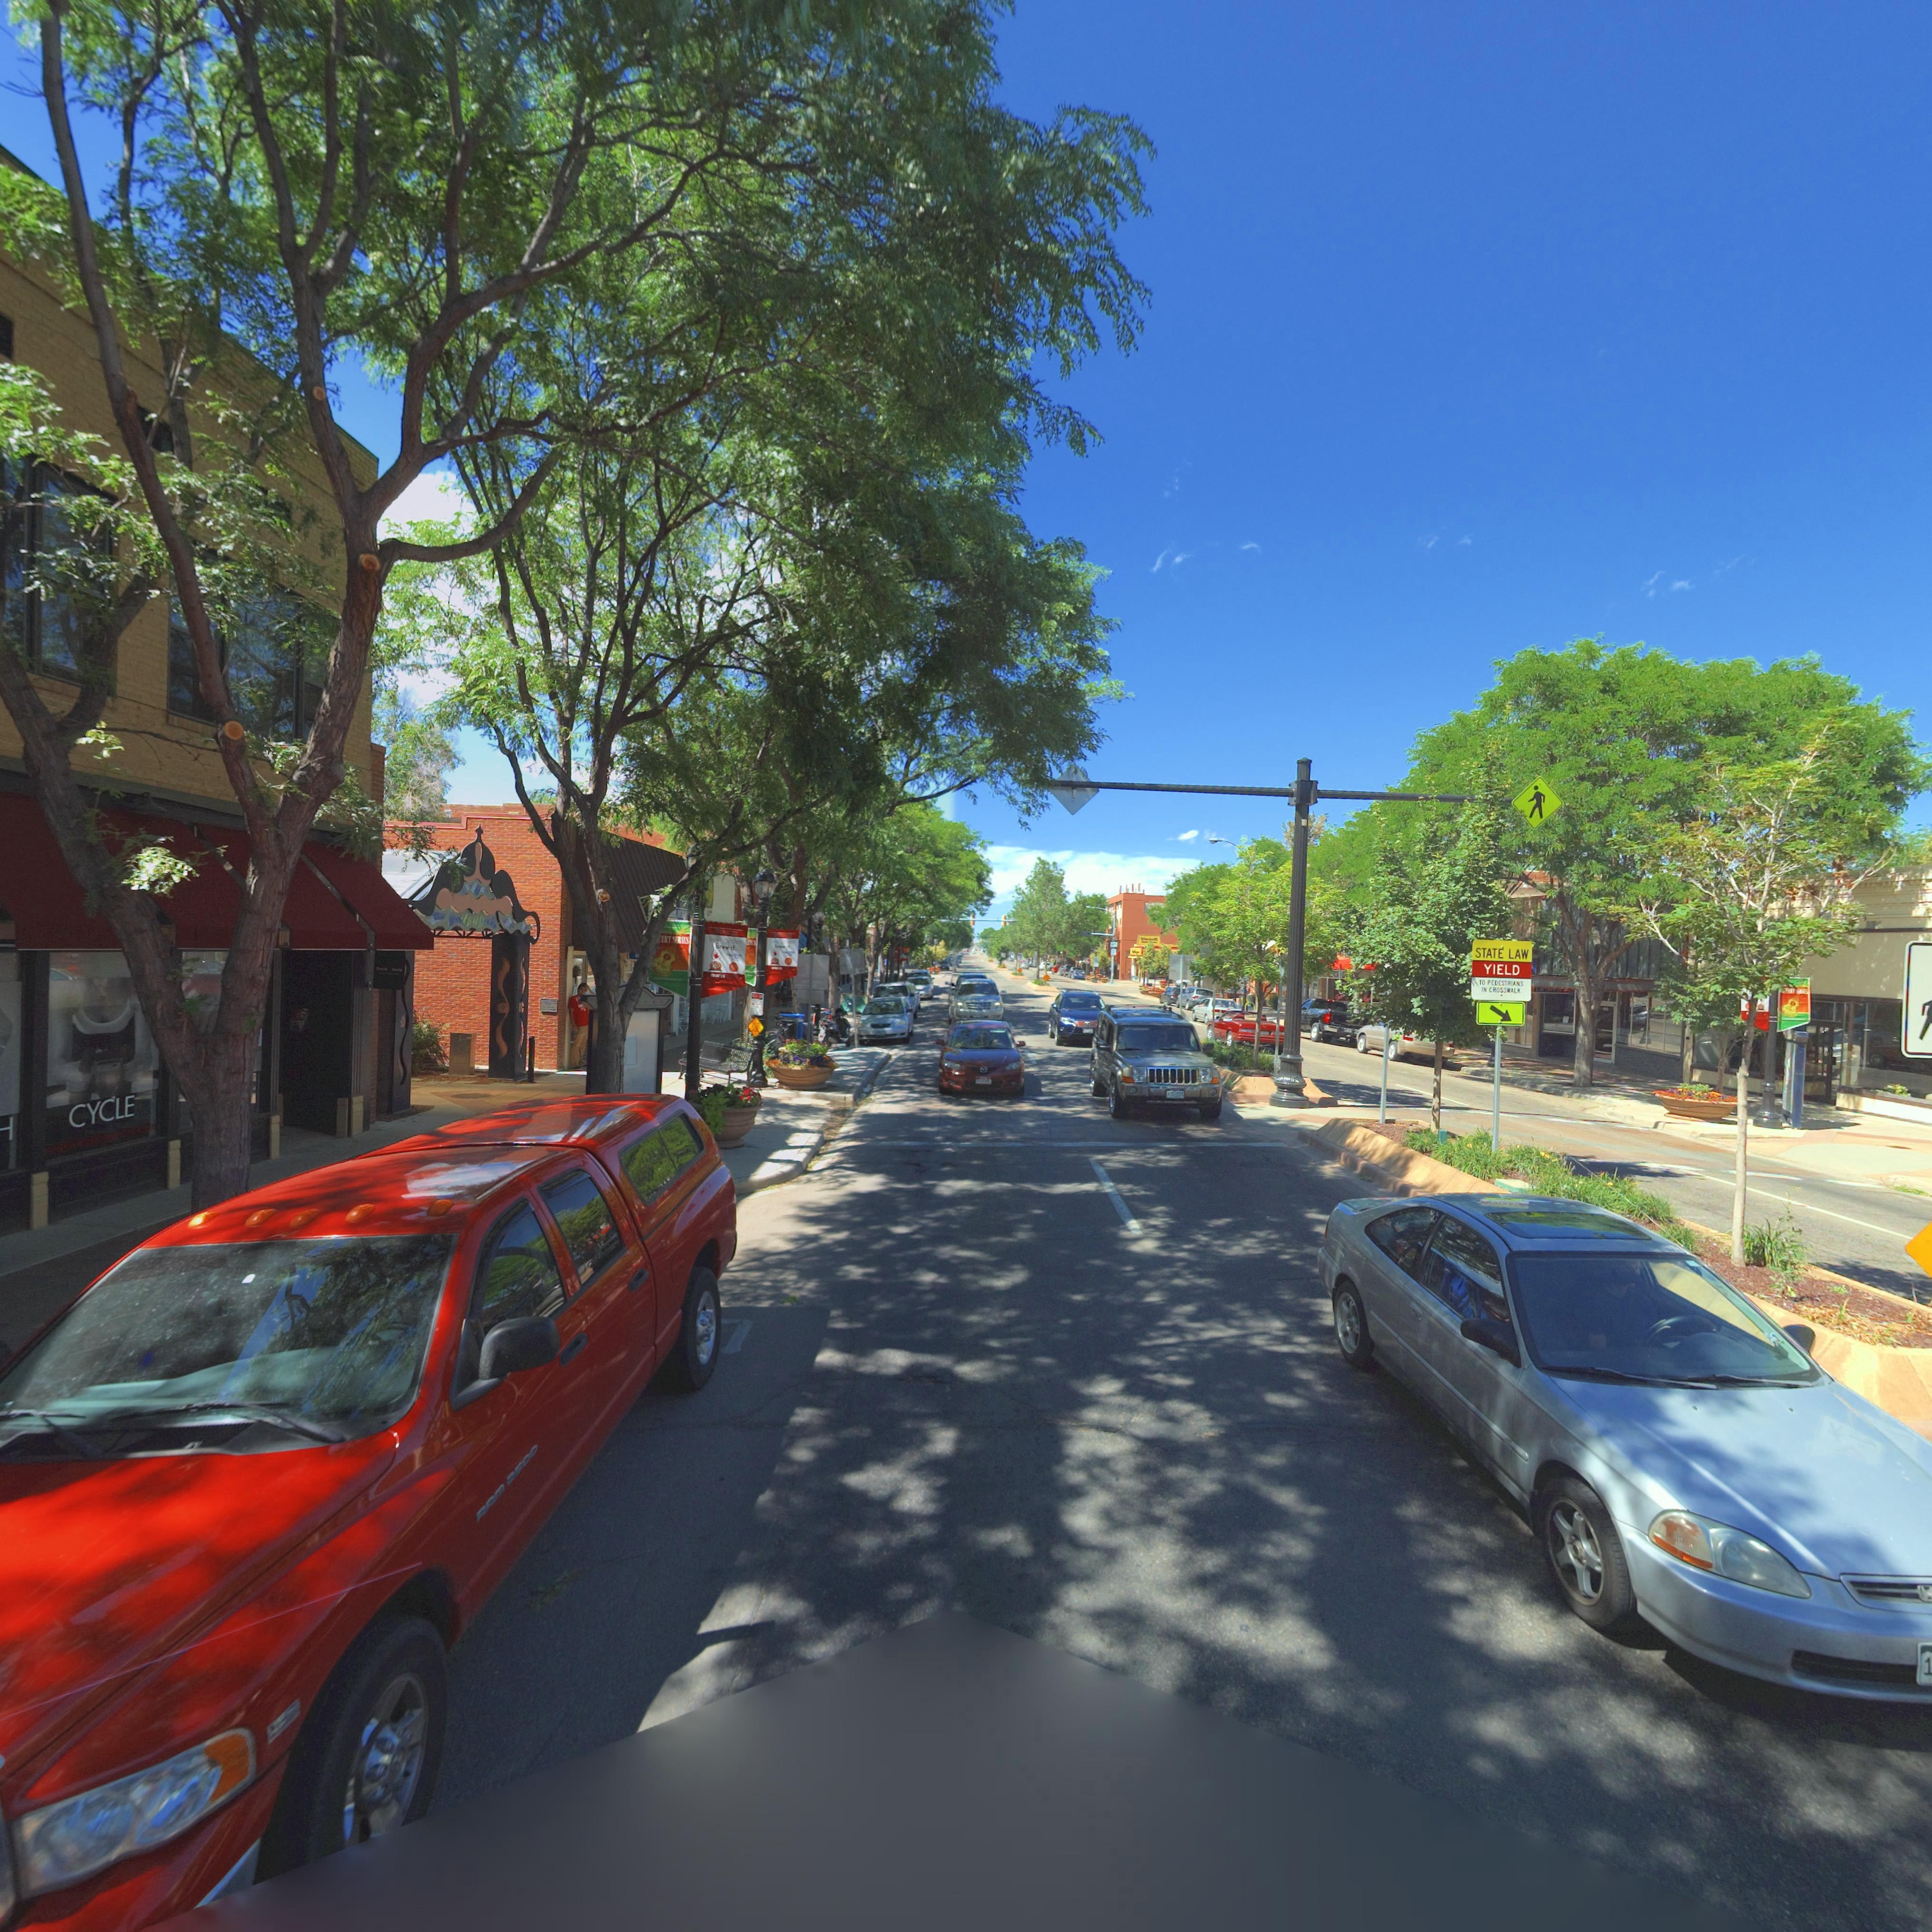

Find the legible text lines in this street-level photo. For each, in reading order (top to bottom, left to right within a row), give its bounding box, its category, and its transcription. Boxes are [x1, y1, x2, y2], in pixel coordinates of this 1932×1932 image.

[376, 966, 403, 973] BusinessName: Break Away